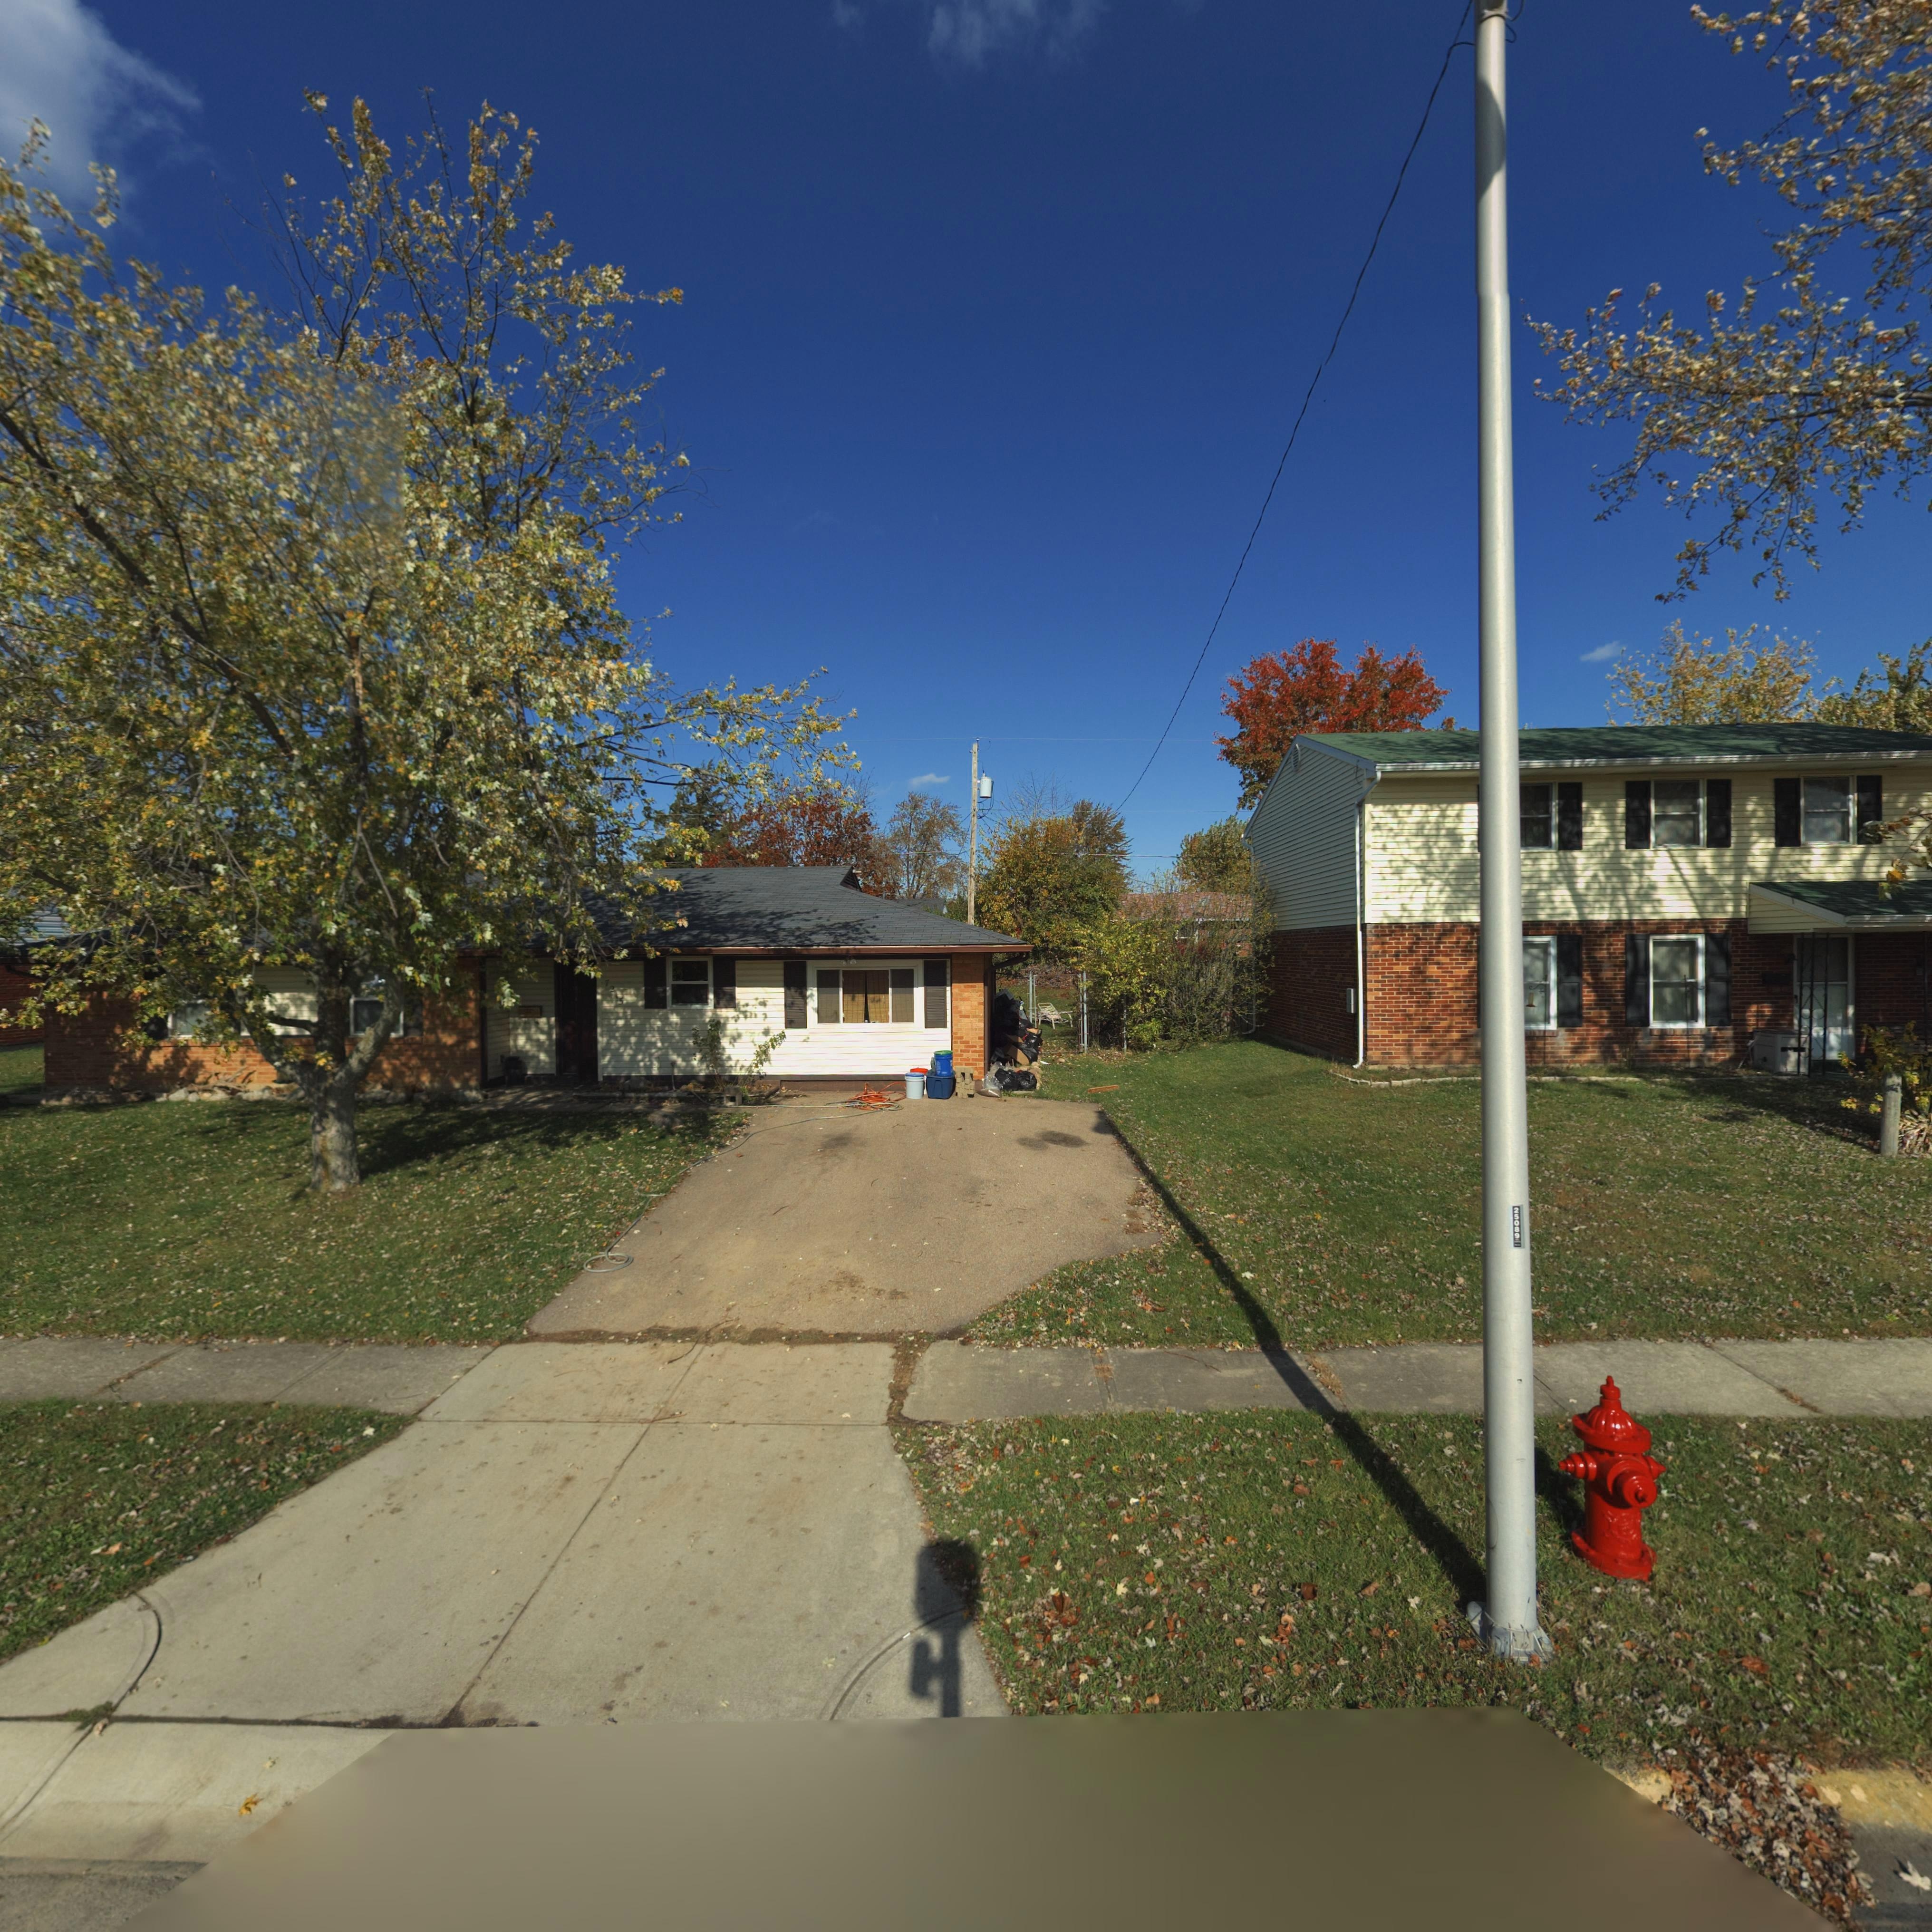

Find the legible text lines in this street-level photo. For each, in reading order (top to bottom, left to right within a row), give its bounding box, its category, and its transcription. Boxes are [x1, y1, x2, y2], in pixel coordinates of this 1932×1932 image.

[604, 978, 626, 1006] StreetNumber: 72*5